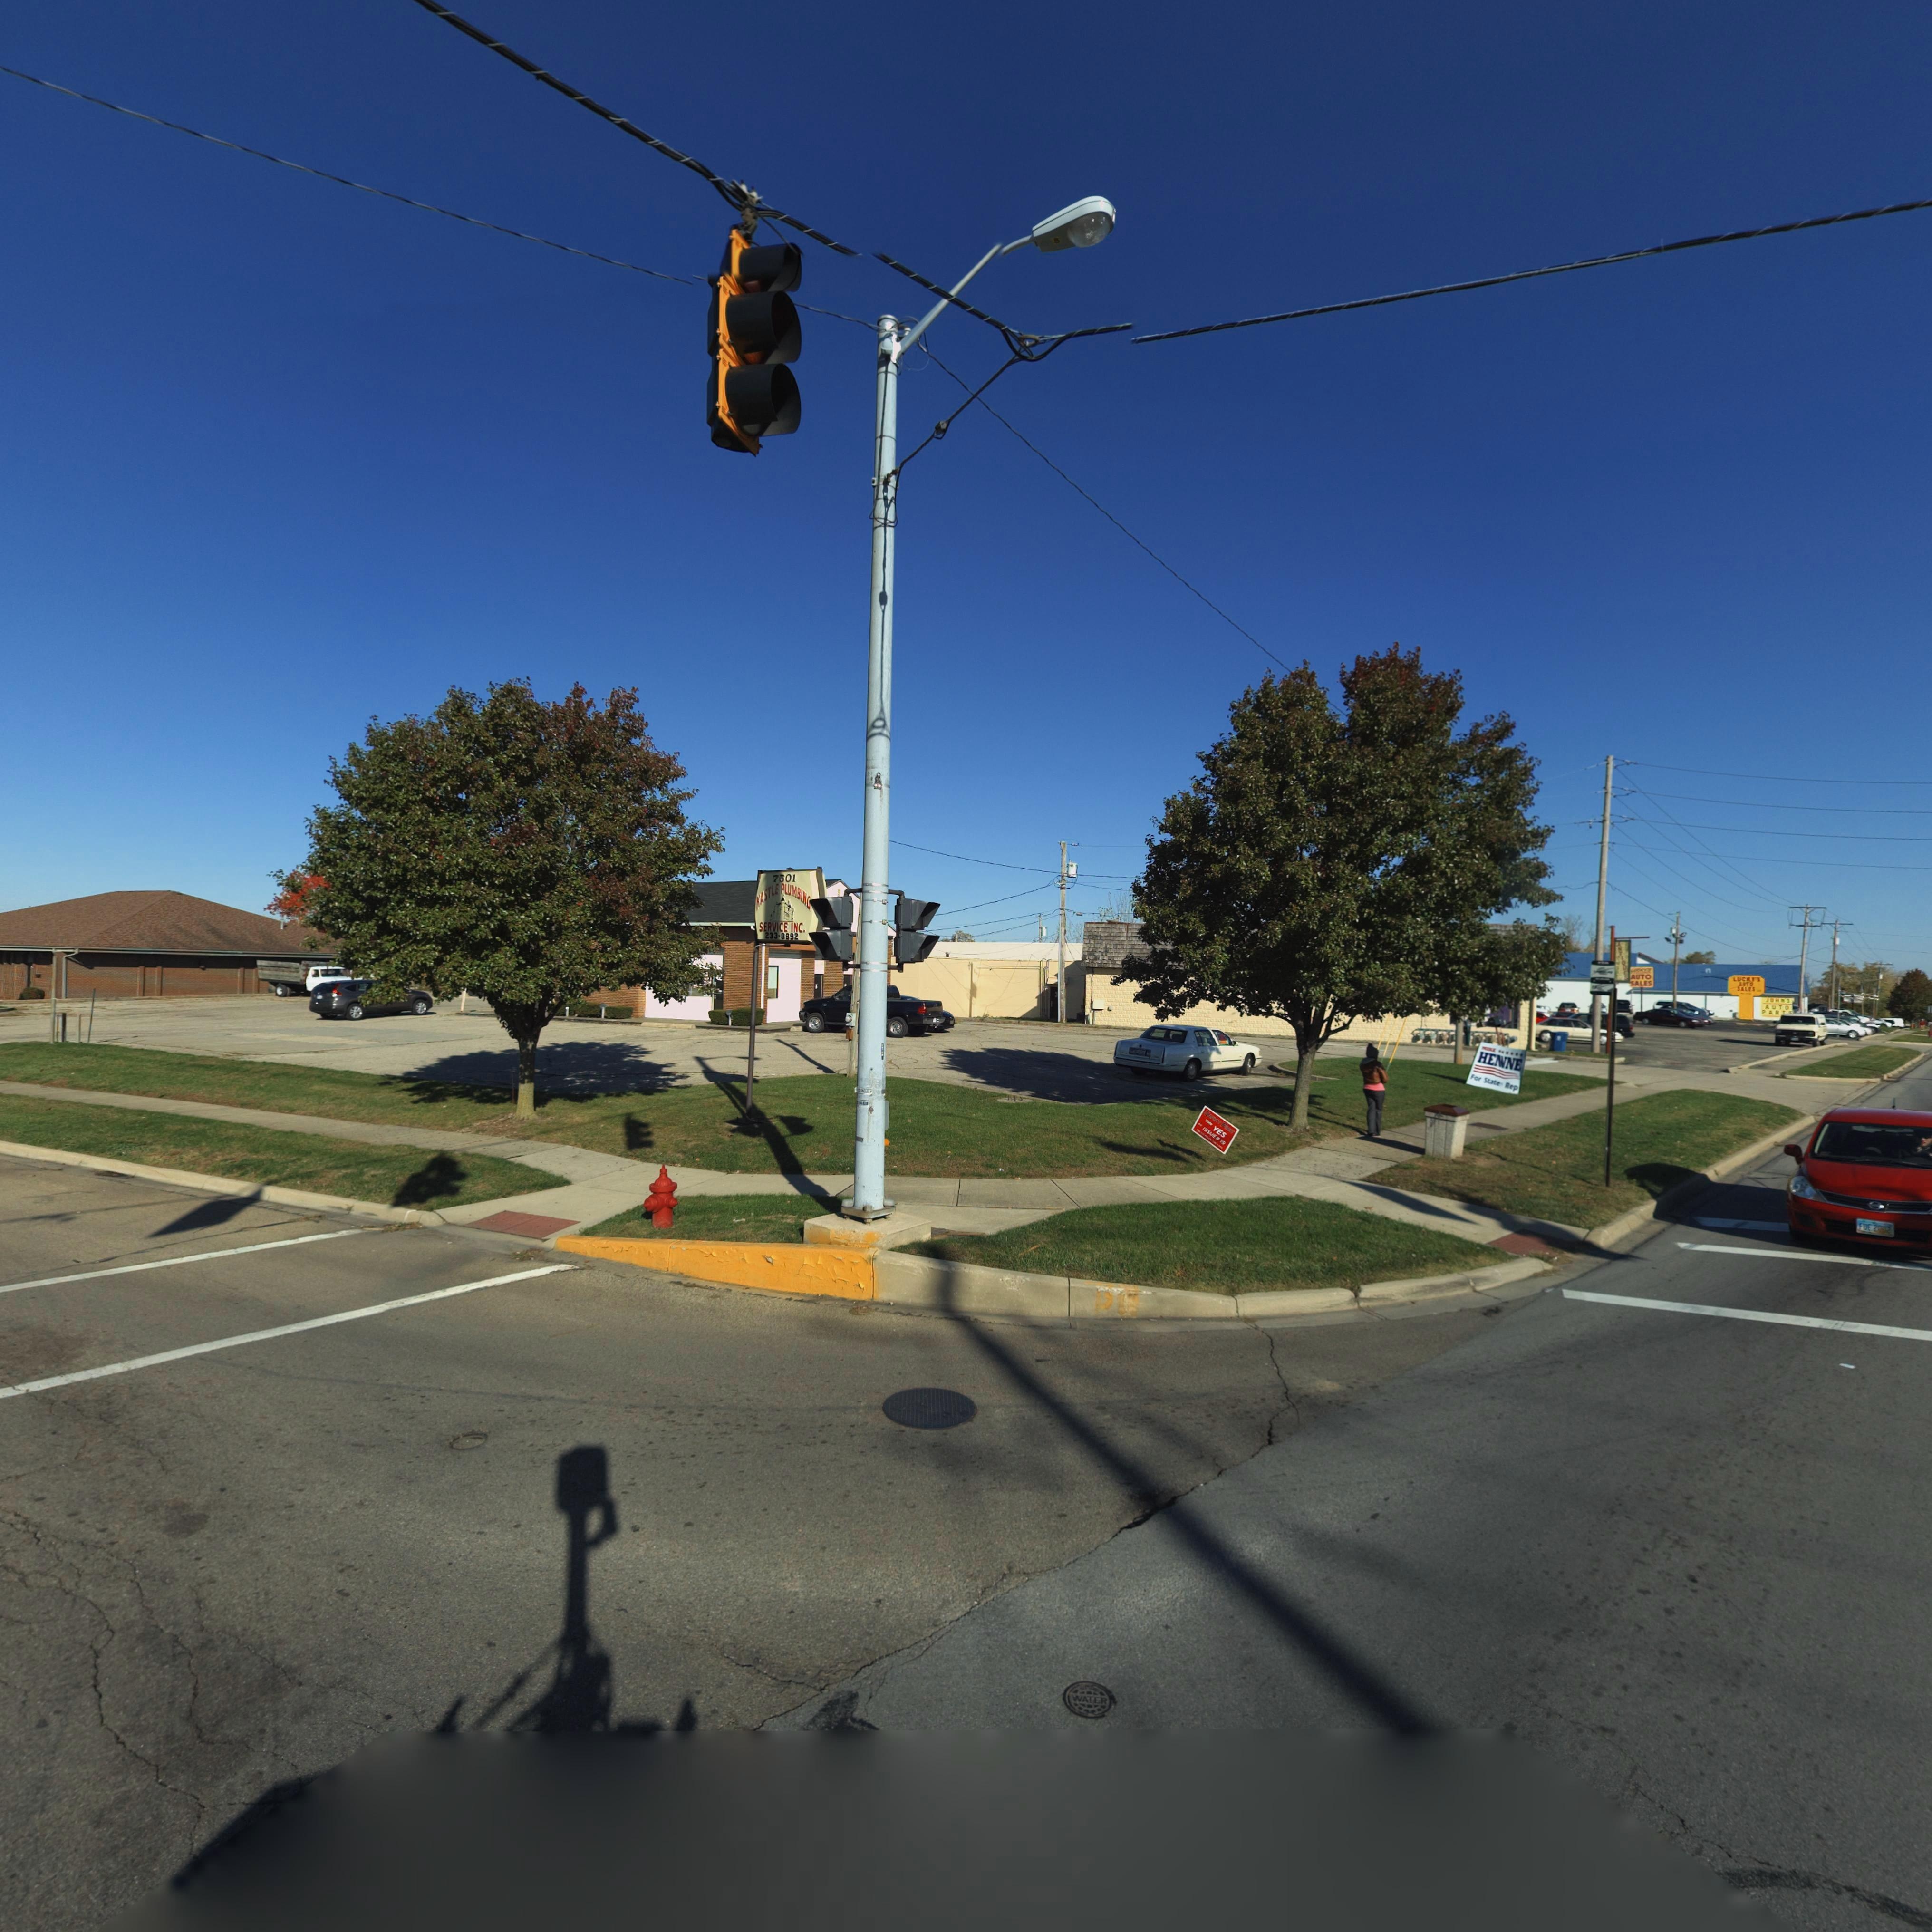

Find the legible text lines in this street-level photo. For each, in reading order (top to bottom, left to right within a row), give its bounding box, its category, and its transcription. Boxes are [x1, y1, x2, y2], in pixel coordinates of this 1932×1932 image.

[772, 873, 796, 884] StreetNumber: 7501
[755, 882, 811, 912] BusinessName: KASTLE PLUMBING
[758, 921, 806, 933] BusinessName: SERVICE INC.
[1630, 974, 1652, 980] None: AUTO
[1629, 980, 1653, 987] None: SALES
[1477, 1050, 1524, 1072] None: HE*NE
[1212, 1125, 1227, 1139] None: YES